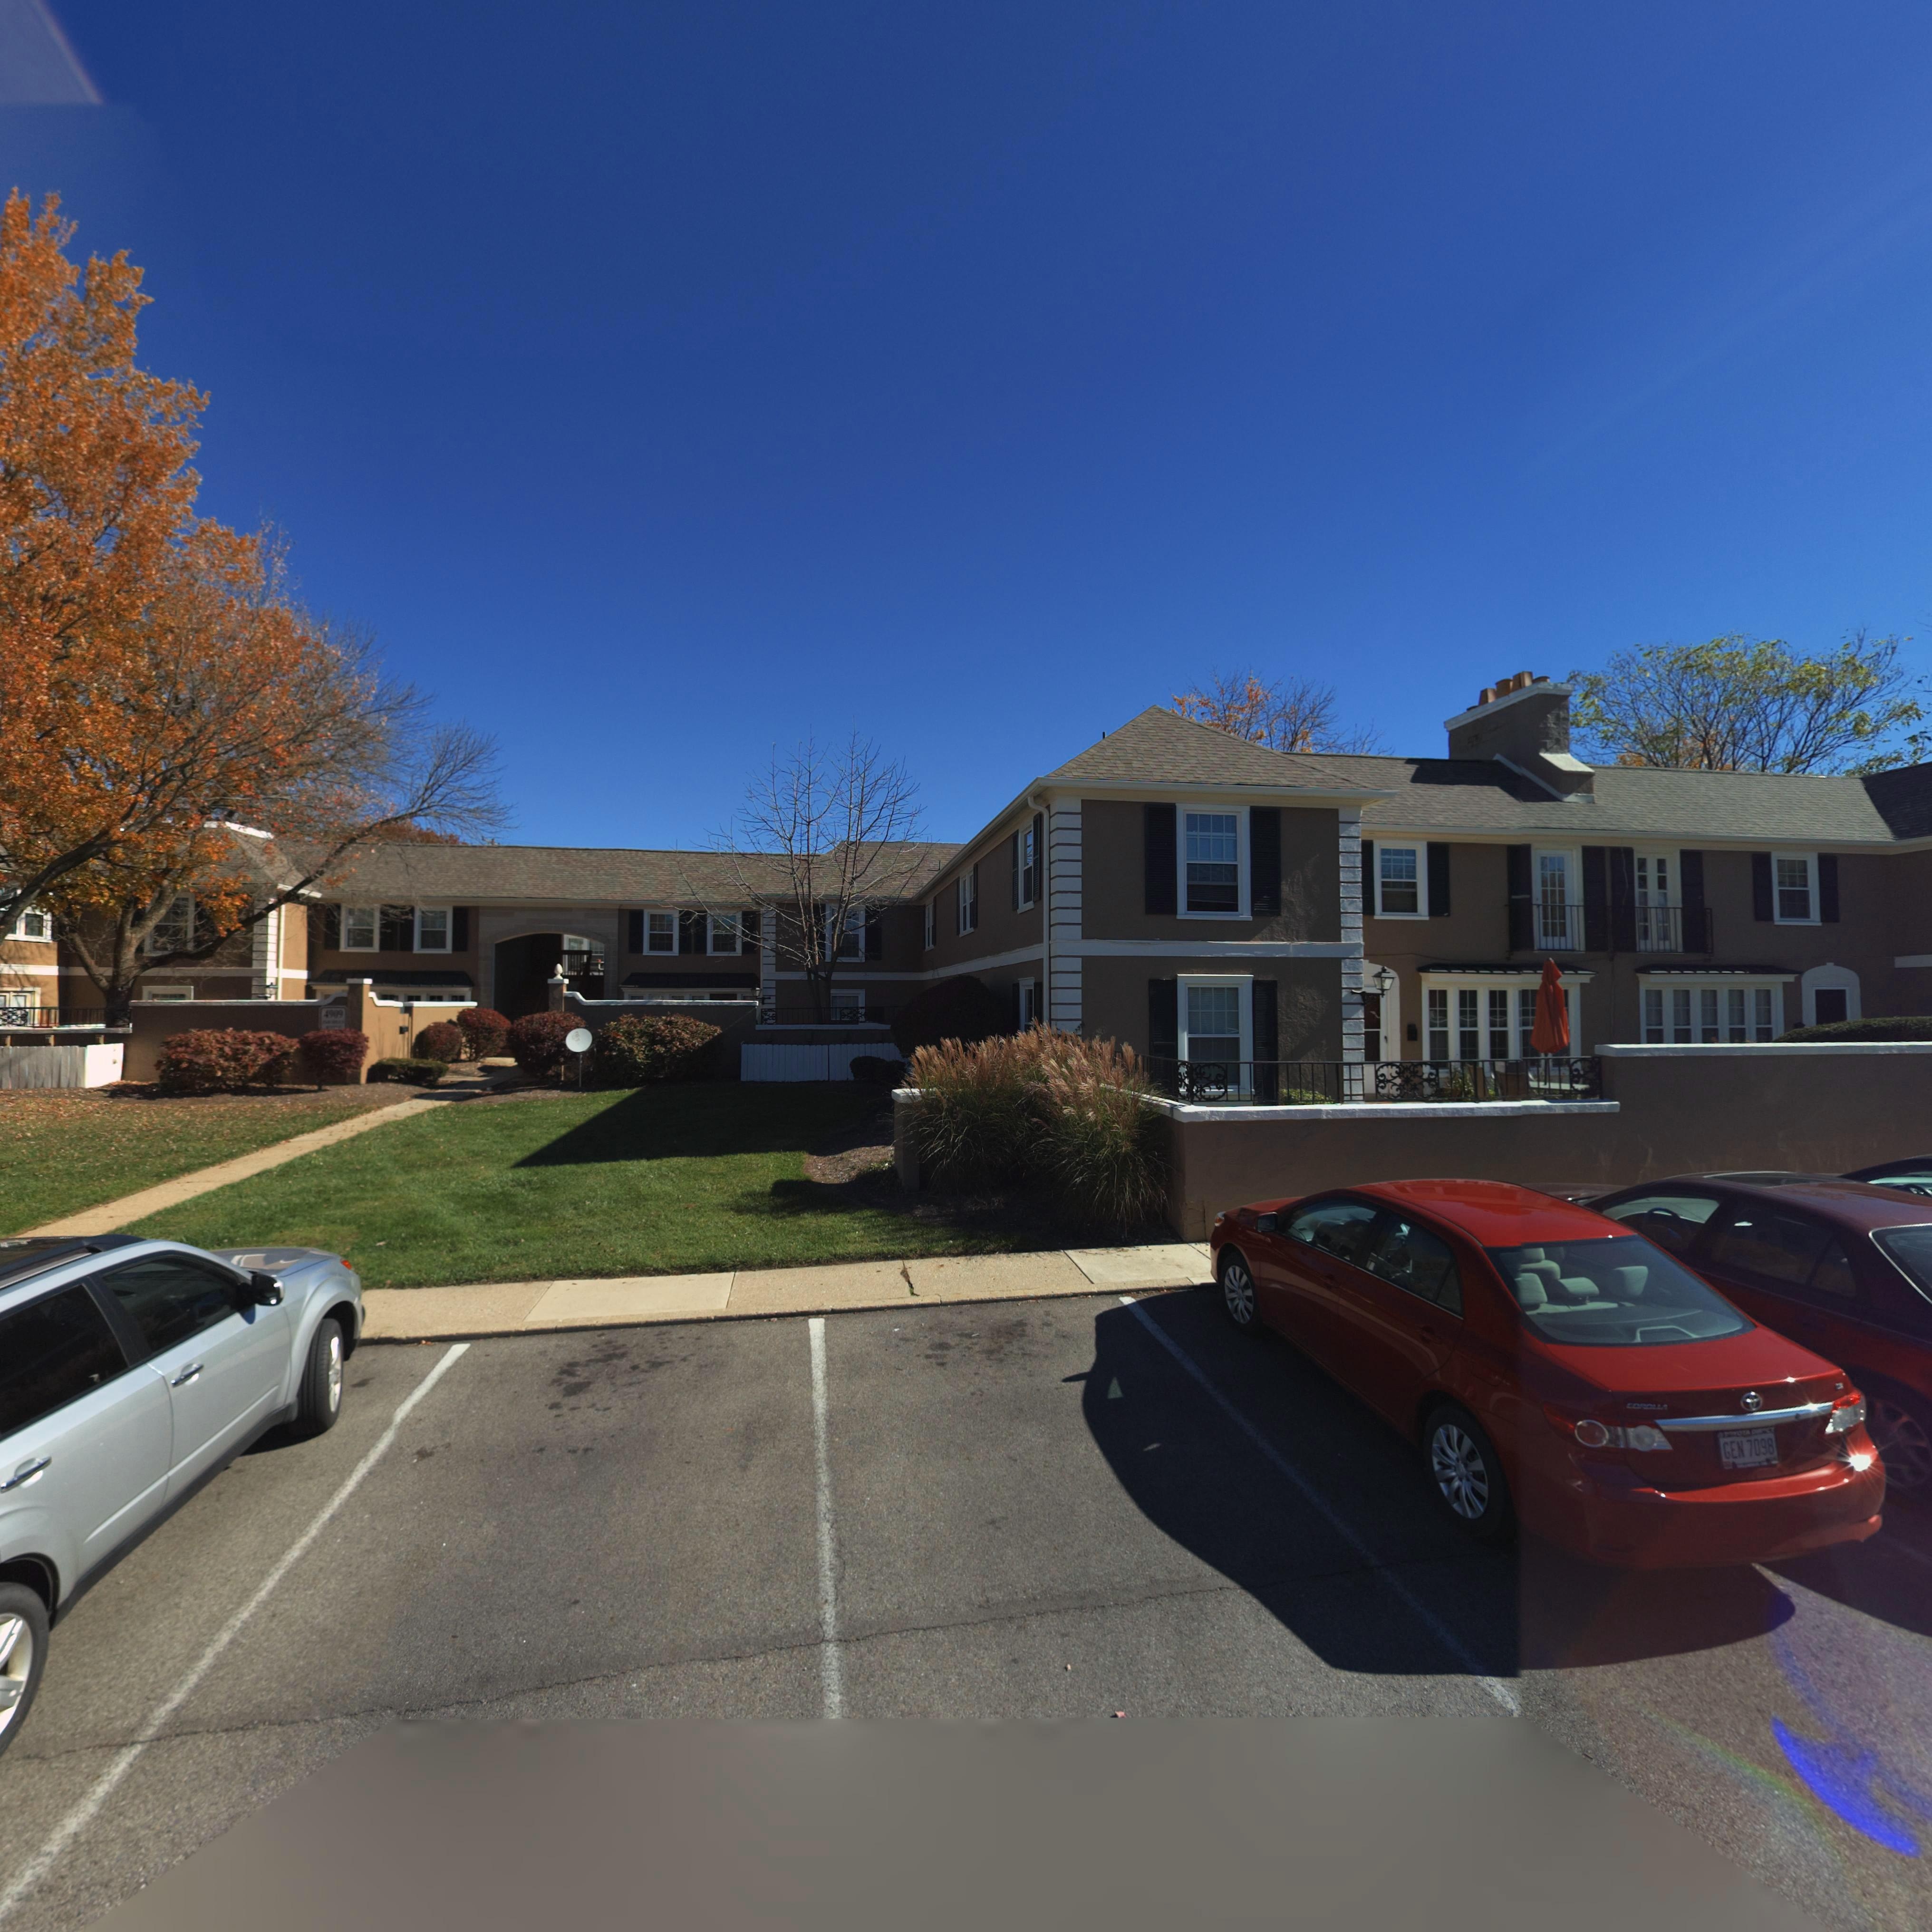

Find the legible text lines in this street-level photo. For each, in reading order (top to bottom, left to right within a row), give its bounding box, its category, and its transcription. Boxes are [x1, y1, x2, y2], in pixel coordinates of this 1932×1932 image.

[322, 1009, 344, 1019] StreetNumber: 4909